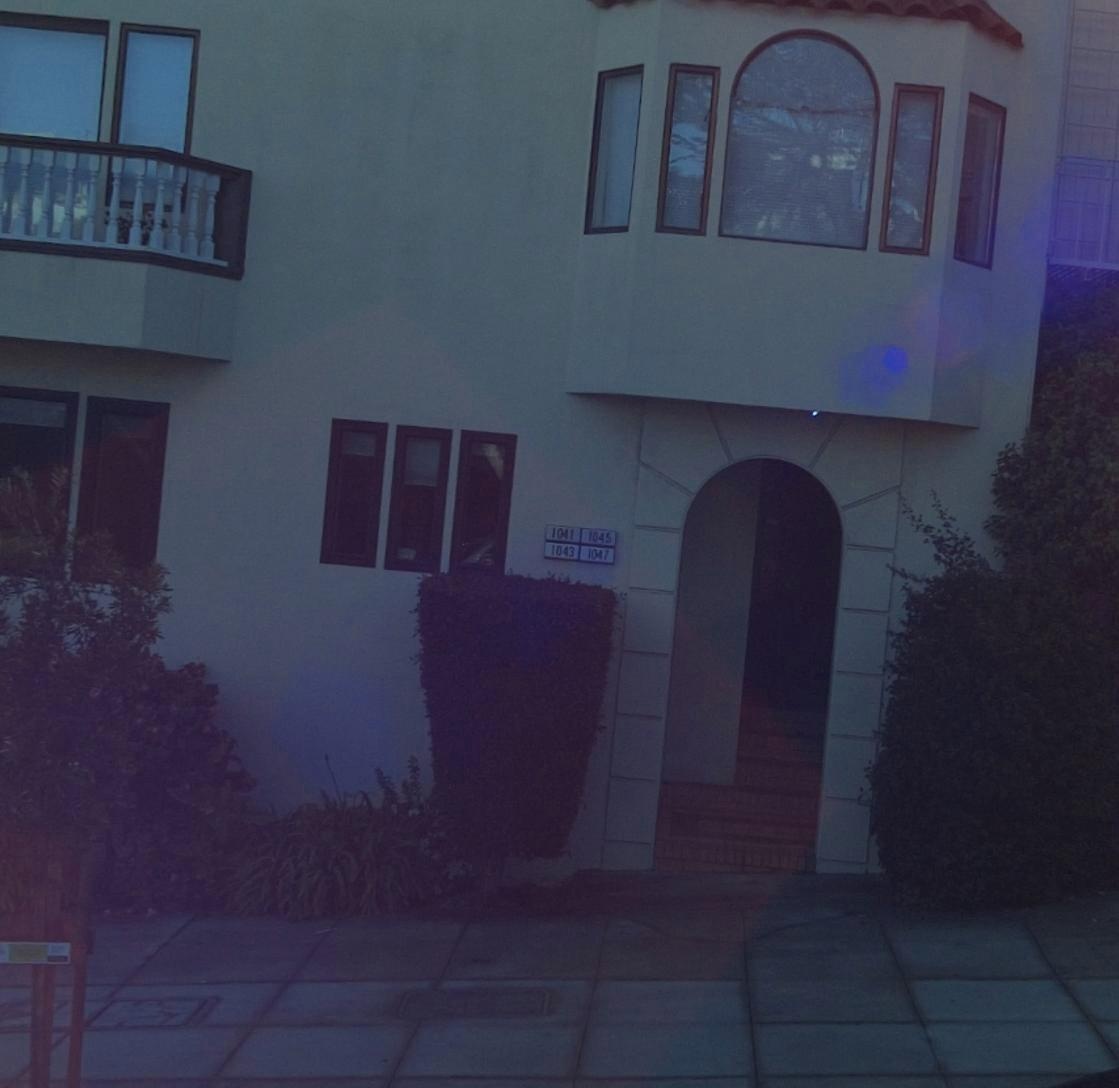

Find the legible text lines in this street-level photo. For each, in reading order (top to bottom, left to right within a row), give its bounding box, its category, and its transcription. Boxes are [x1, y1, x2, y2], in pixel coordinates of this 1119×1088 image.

[550, 526, 575, 542] StreetNumber: 1041
[587, 529, 614, 545] StreetNumber: 1045
[549, 544, 576, 560] StreetNumber: 1043
[585, 546, 611, 562] StreetNumber: 1047